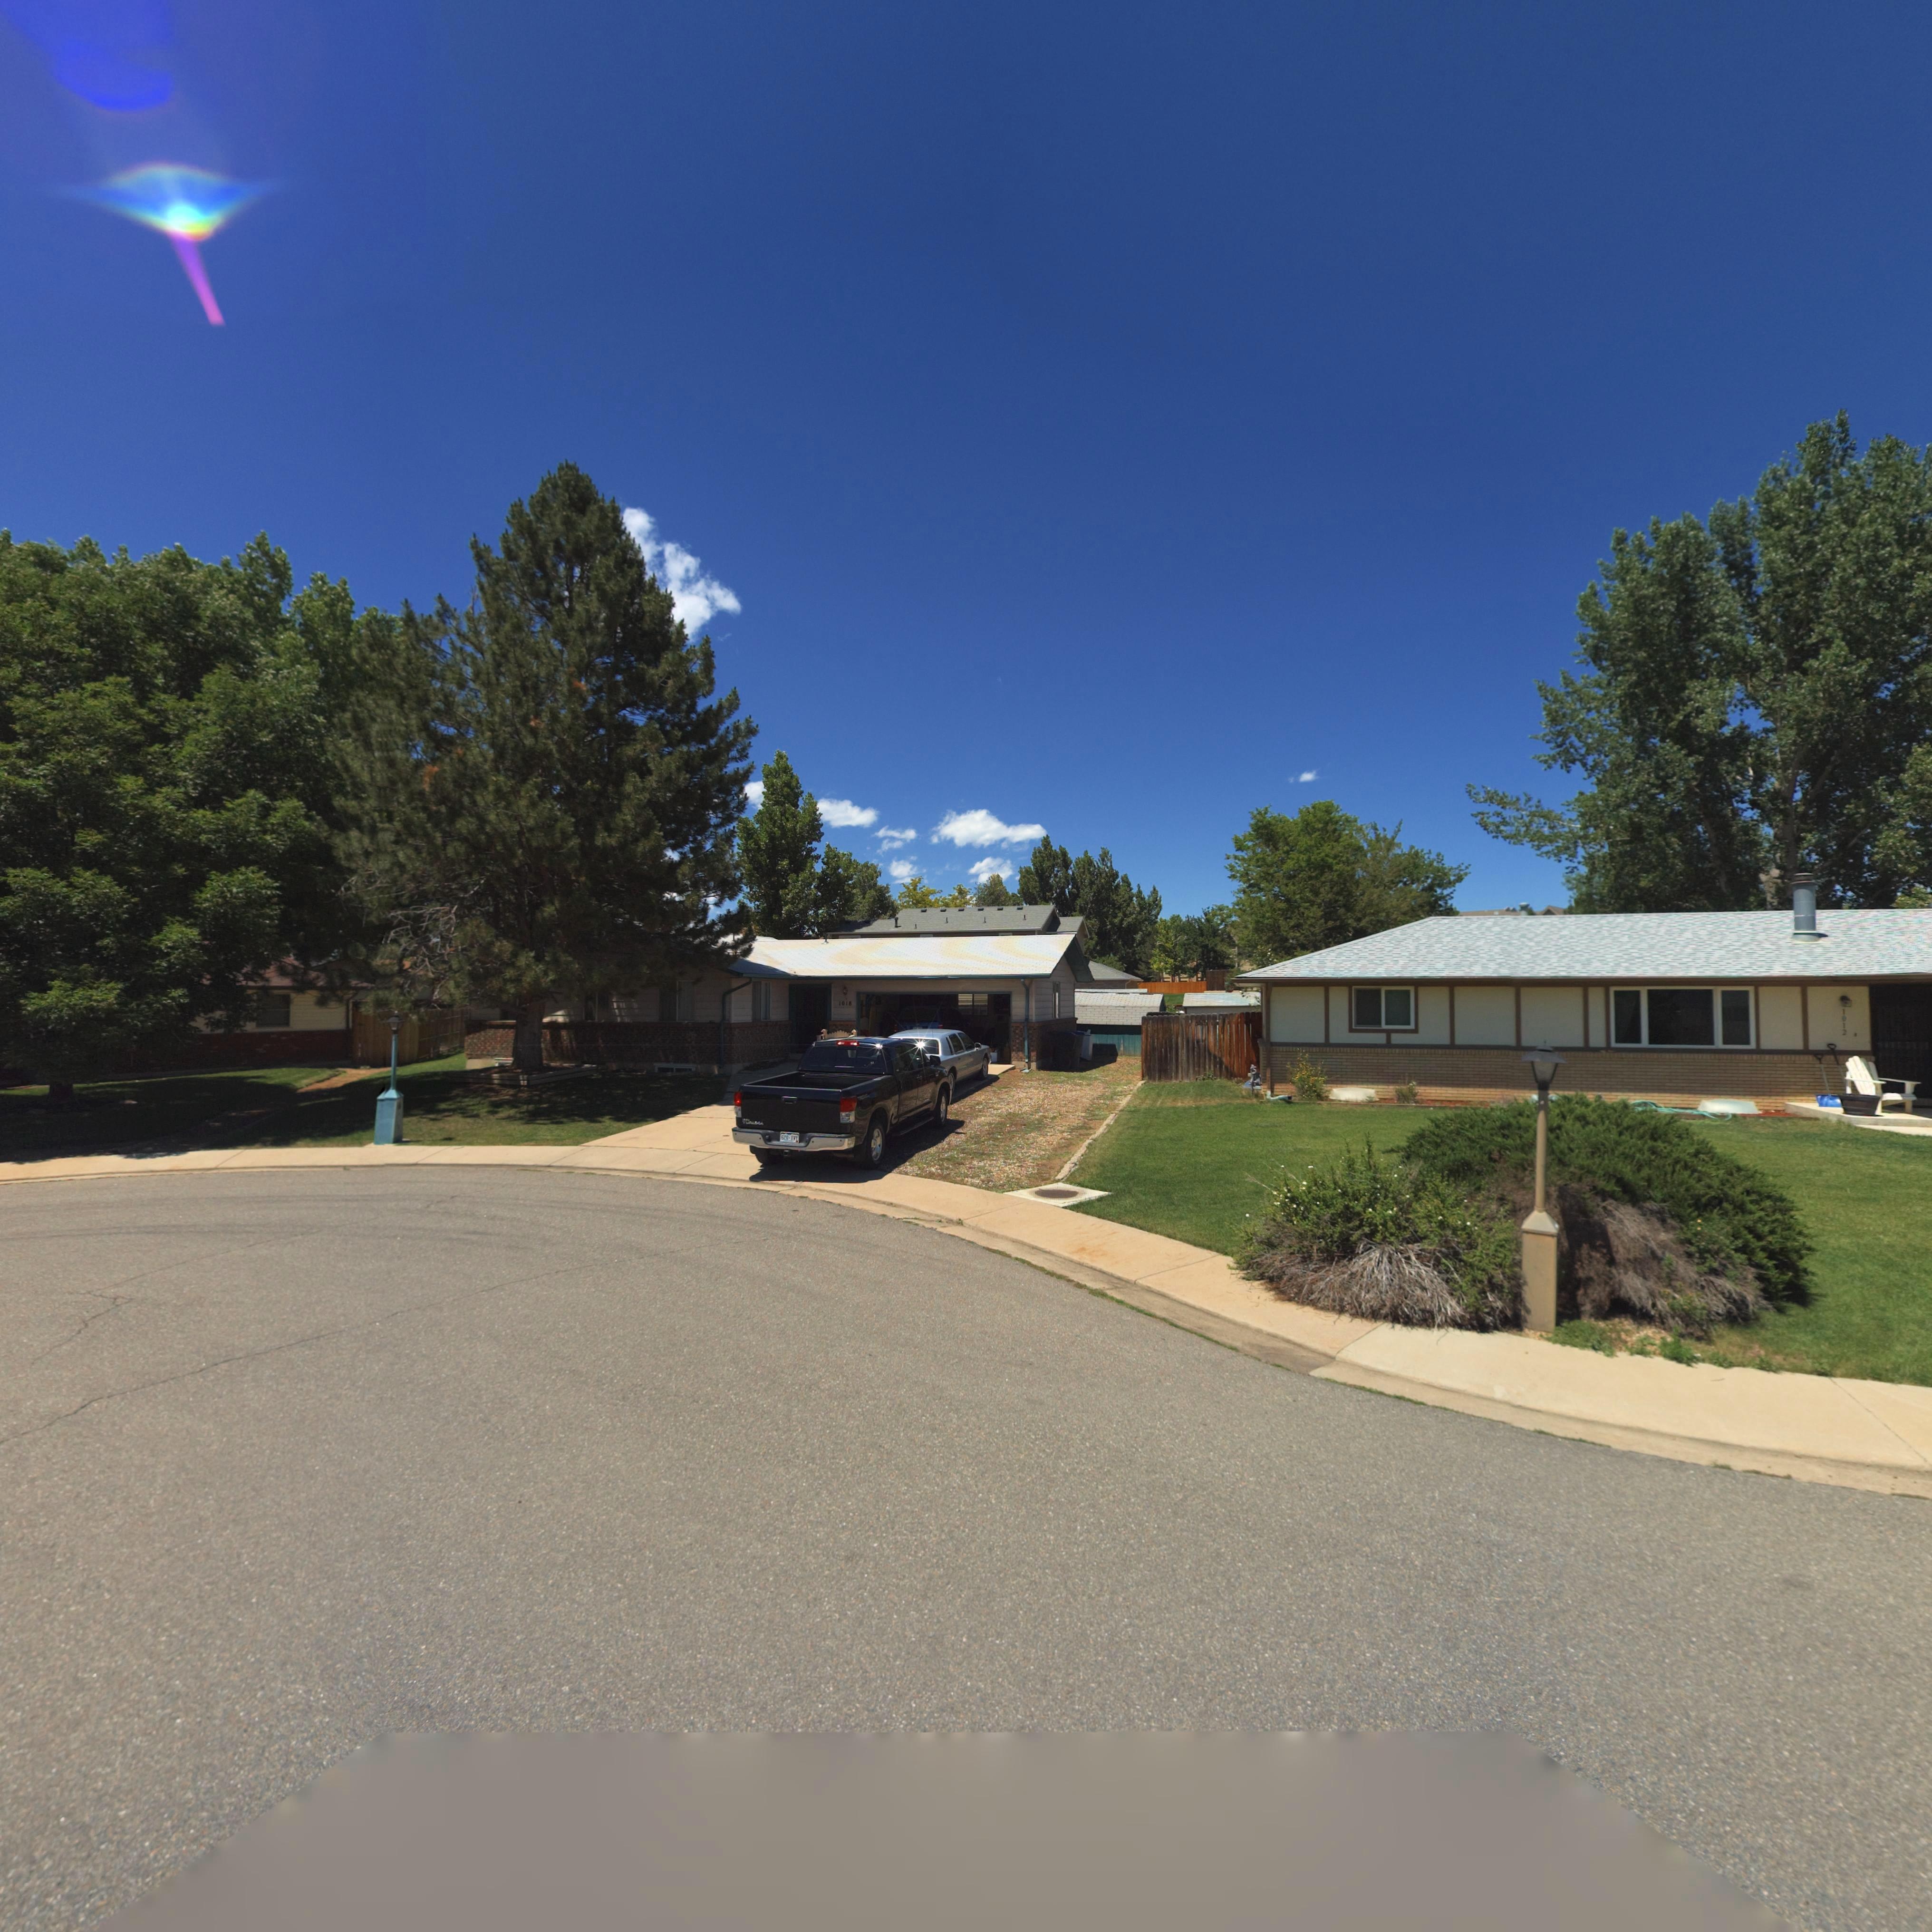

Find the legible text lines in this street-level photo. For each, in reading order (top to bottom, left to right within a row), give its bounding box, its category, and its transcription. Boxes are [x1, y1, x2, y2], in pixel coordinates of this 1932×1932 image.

[839, 1000, 852, 1006] StreetNumber: 1018
[1841, 1008, 1847, 1036] StreetNumber: 1012